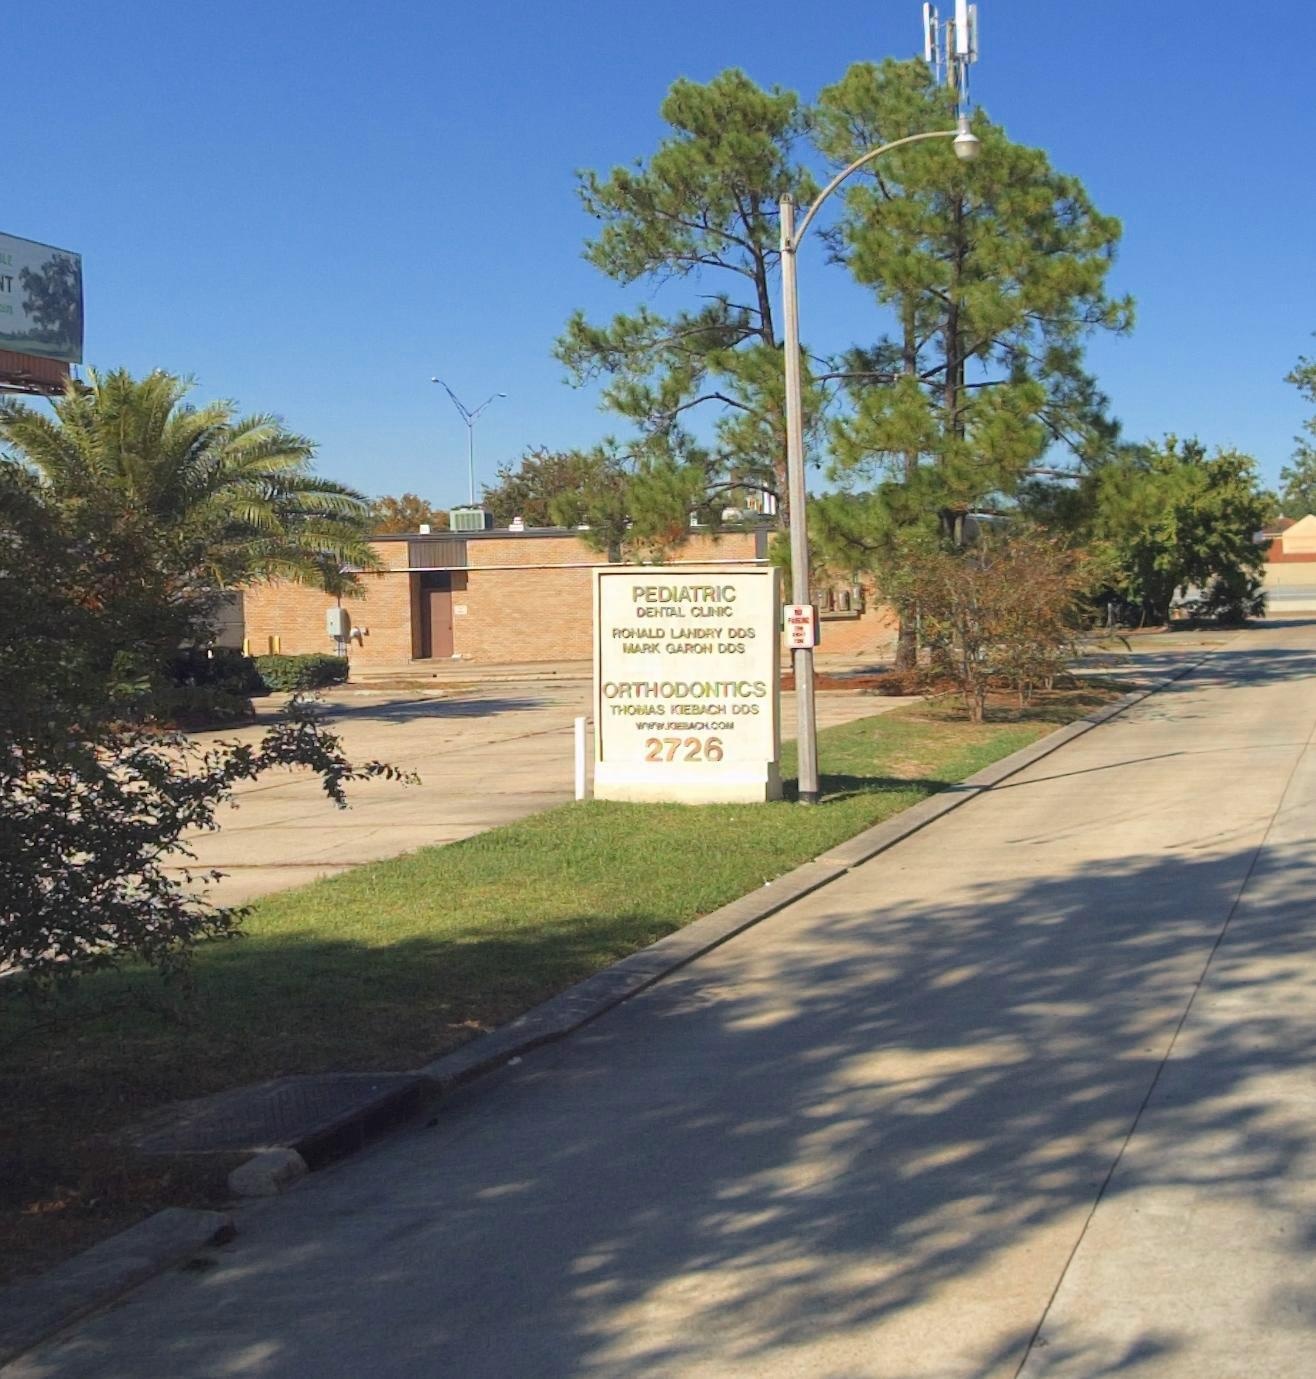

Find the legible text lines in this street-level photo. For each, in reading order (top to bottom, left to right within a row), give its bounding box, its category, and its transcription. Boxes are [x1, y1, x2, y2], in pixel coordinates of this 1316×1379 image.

[3, 274, 15, 293] None: T
[630, 584, 738, 604] BusinessName: PEDIATRIC
[635, 605, 734, 620] BusinessName: DENTAL CLINIC
[611, 626, 757, 639] None: RONALD LANDRY DDS
[621, 641, 747, 655] None: MARK GARON DDS
[601, 680, 768, 699] None: ORTHODONTICS
[608, 703, 761, 717] None: THOMAS KIEBACH DDS
[633, 720, 736, 731] None: WWW.KIEBACH.COM
[643, 736, 725, 764] StreetNumber: 2726